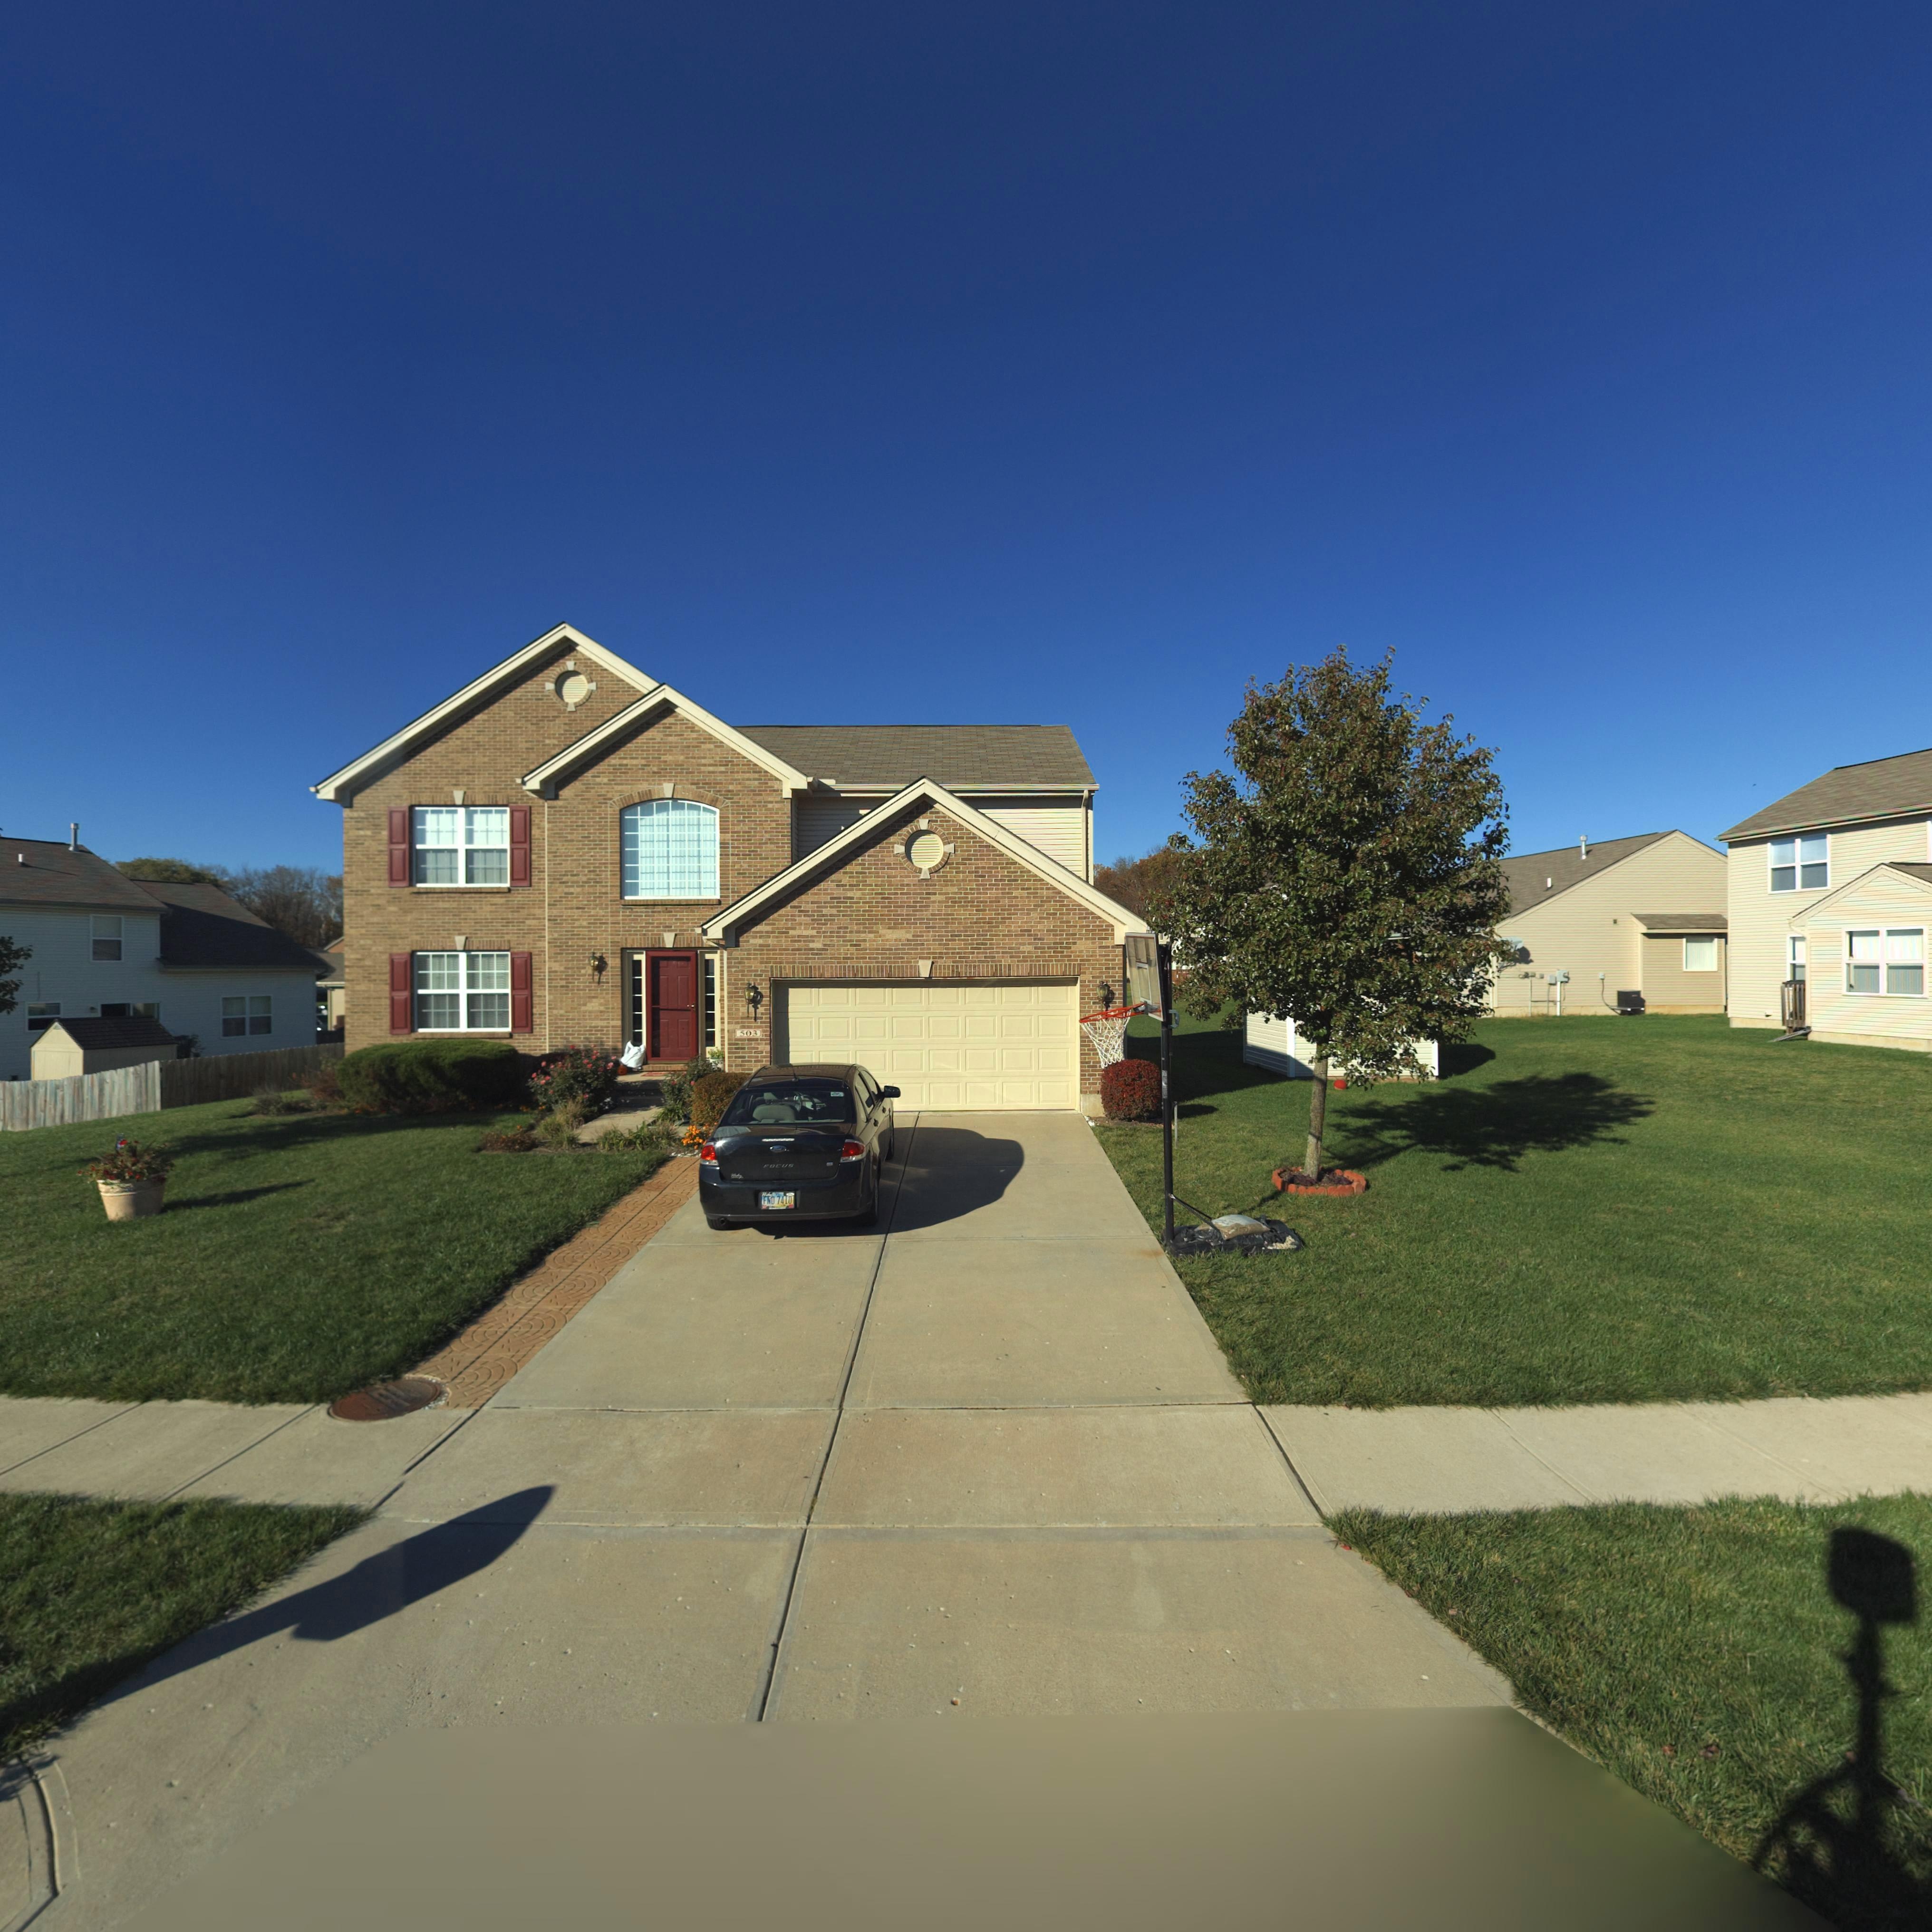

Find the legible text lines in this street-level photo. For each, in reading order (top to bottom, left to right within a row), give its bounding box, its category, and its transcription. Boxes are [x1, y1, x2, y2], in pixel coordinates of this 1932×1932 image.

[739, 1029, 759, 1038] StreetNumber: 503
[762, 1163, 795, 1169] None: FOCUS
[763, 1195, 793, 1205] None: F*D 7410